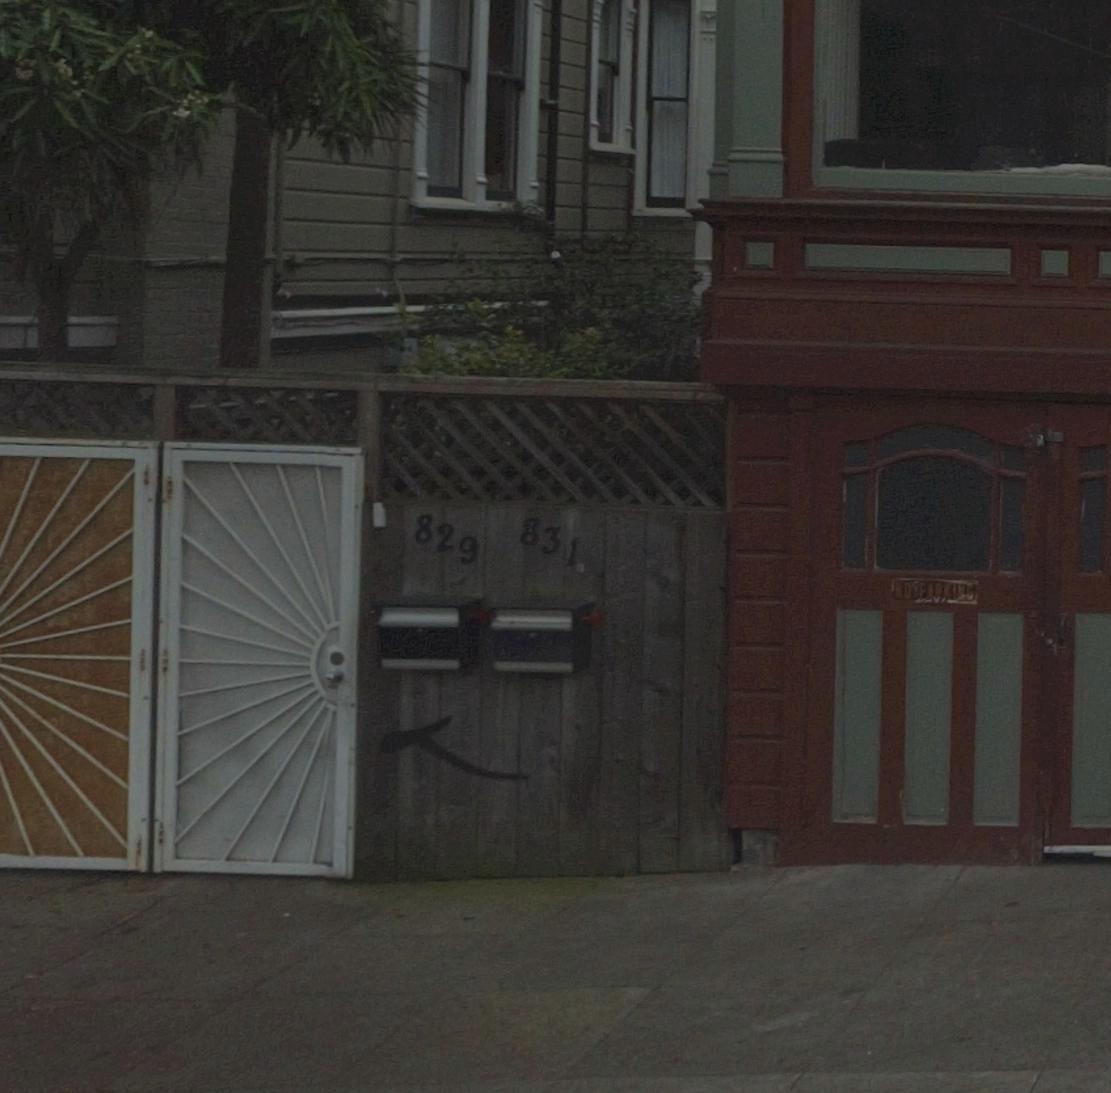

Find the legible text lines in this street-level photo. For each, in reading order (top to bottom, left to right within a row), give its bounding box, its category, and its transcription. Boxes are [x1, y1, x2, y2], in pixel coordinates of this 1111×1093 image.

[412, 508, 481, 568] StreetNumber: 828
[517, 511, 583, 572] StreetNumber: 831
[893, 580, 976, 602] None: NO PARKING